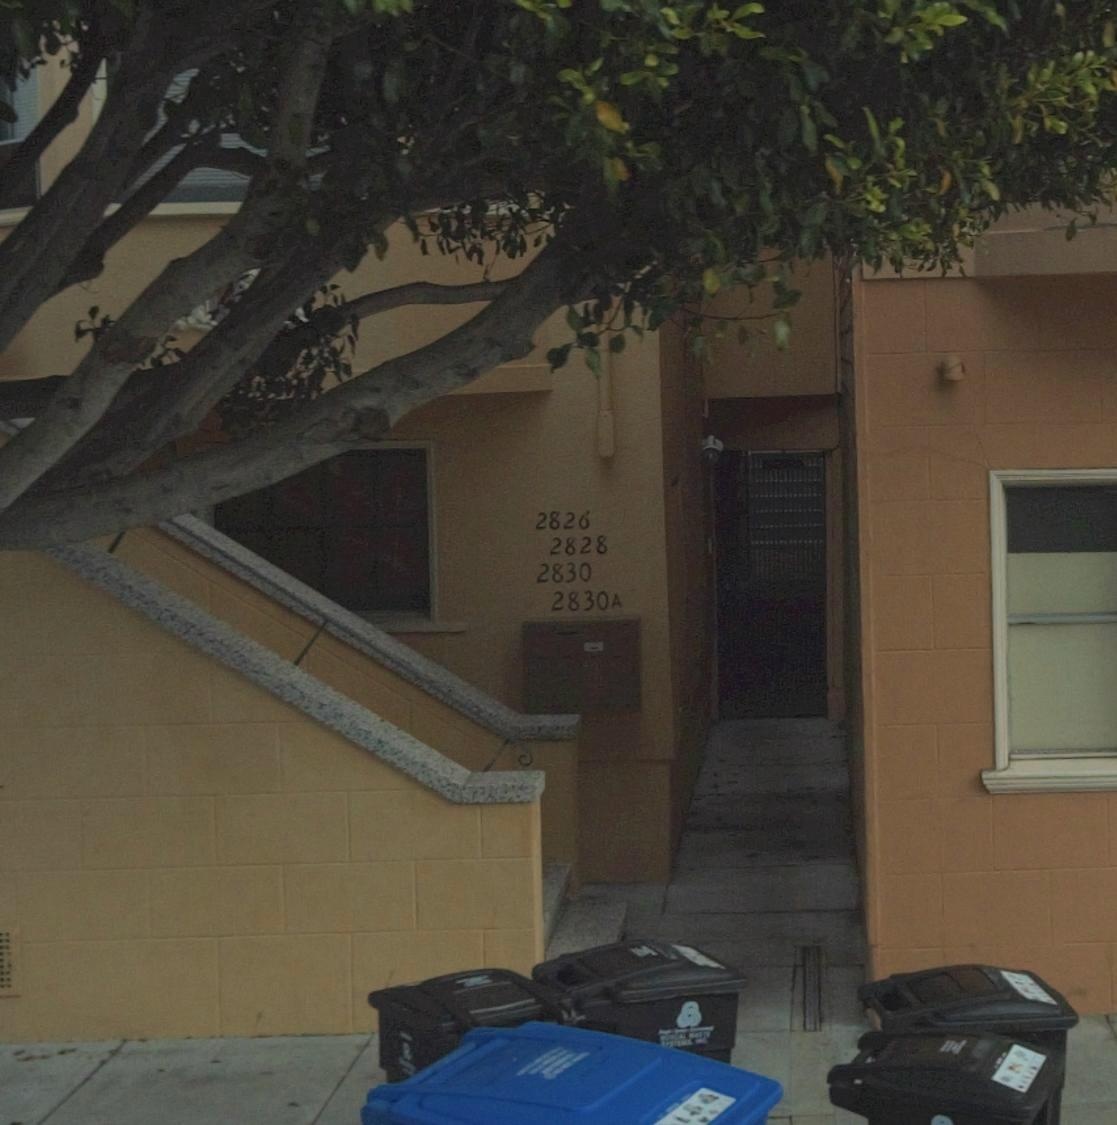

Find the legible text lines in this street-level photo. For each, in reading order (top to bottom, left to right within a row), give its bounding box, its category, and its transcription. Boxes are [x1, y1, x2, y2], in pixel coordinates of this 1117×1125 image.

[532, 507, 593, 532] StreetNumber: 2826
[545, 532, 610, 558] StreetNumber: 2828
[532, 560, 595, 587] StreetNumber: 2830
[546, 587, 626, 615] StreetNumber: 2830 A